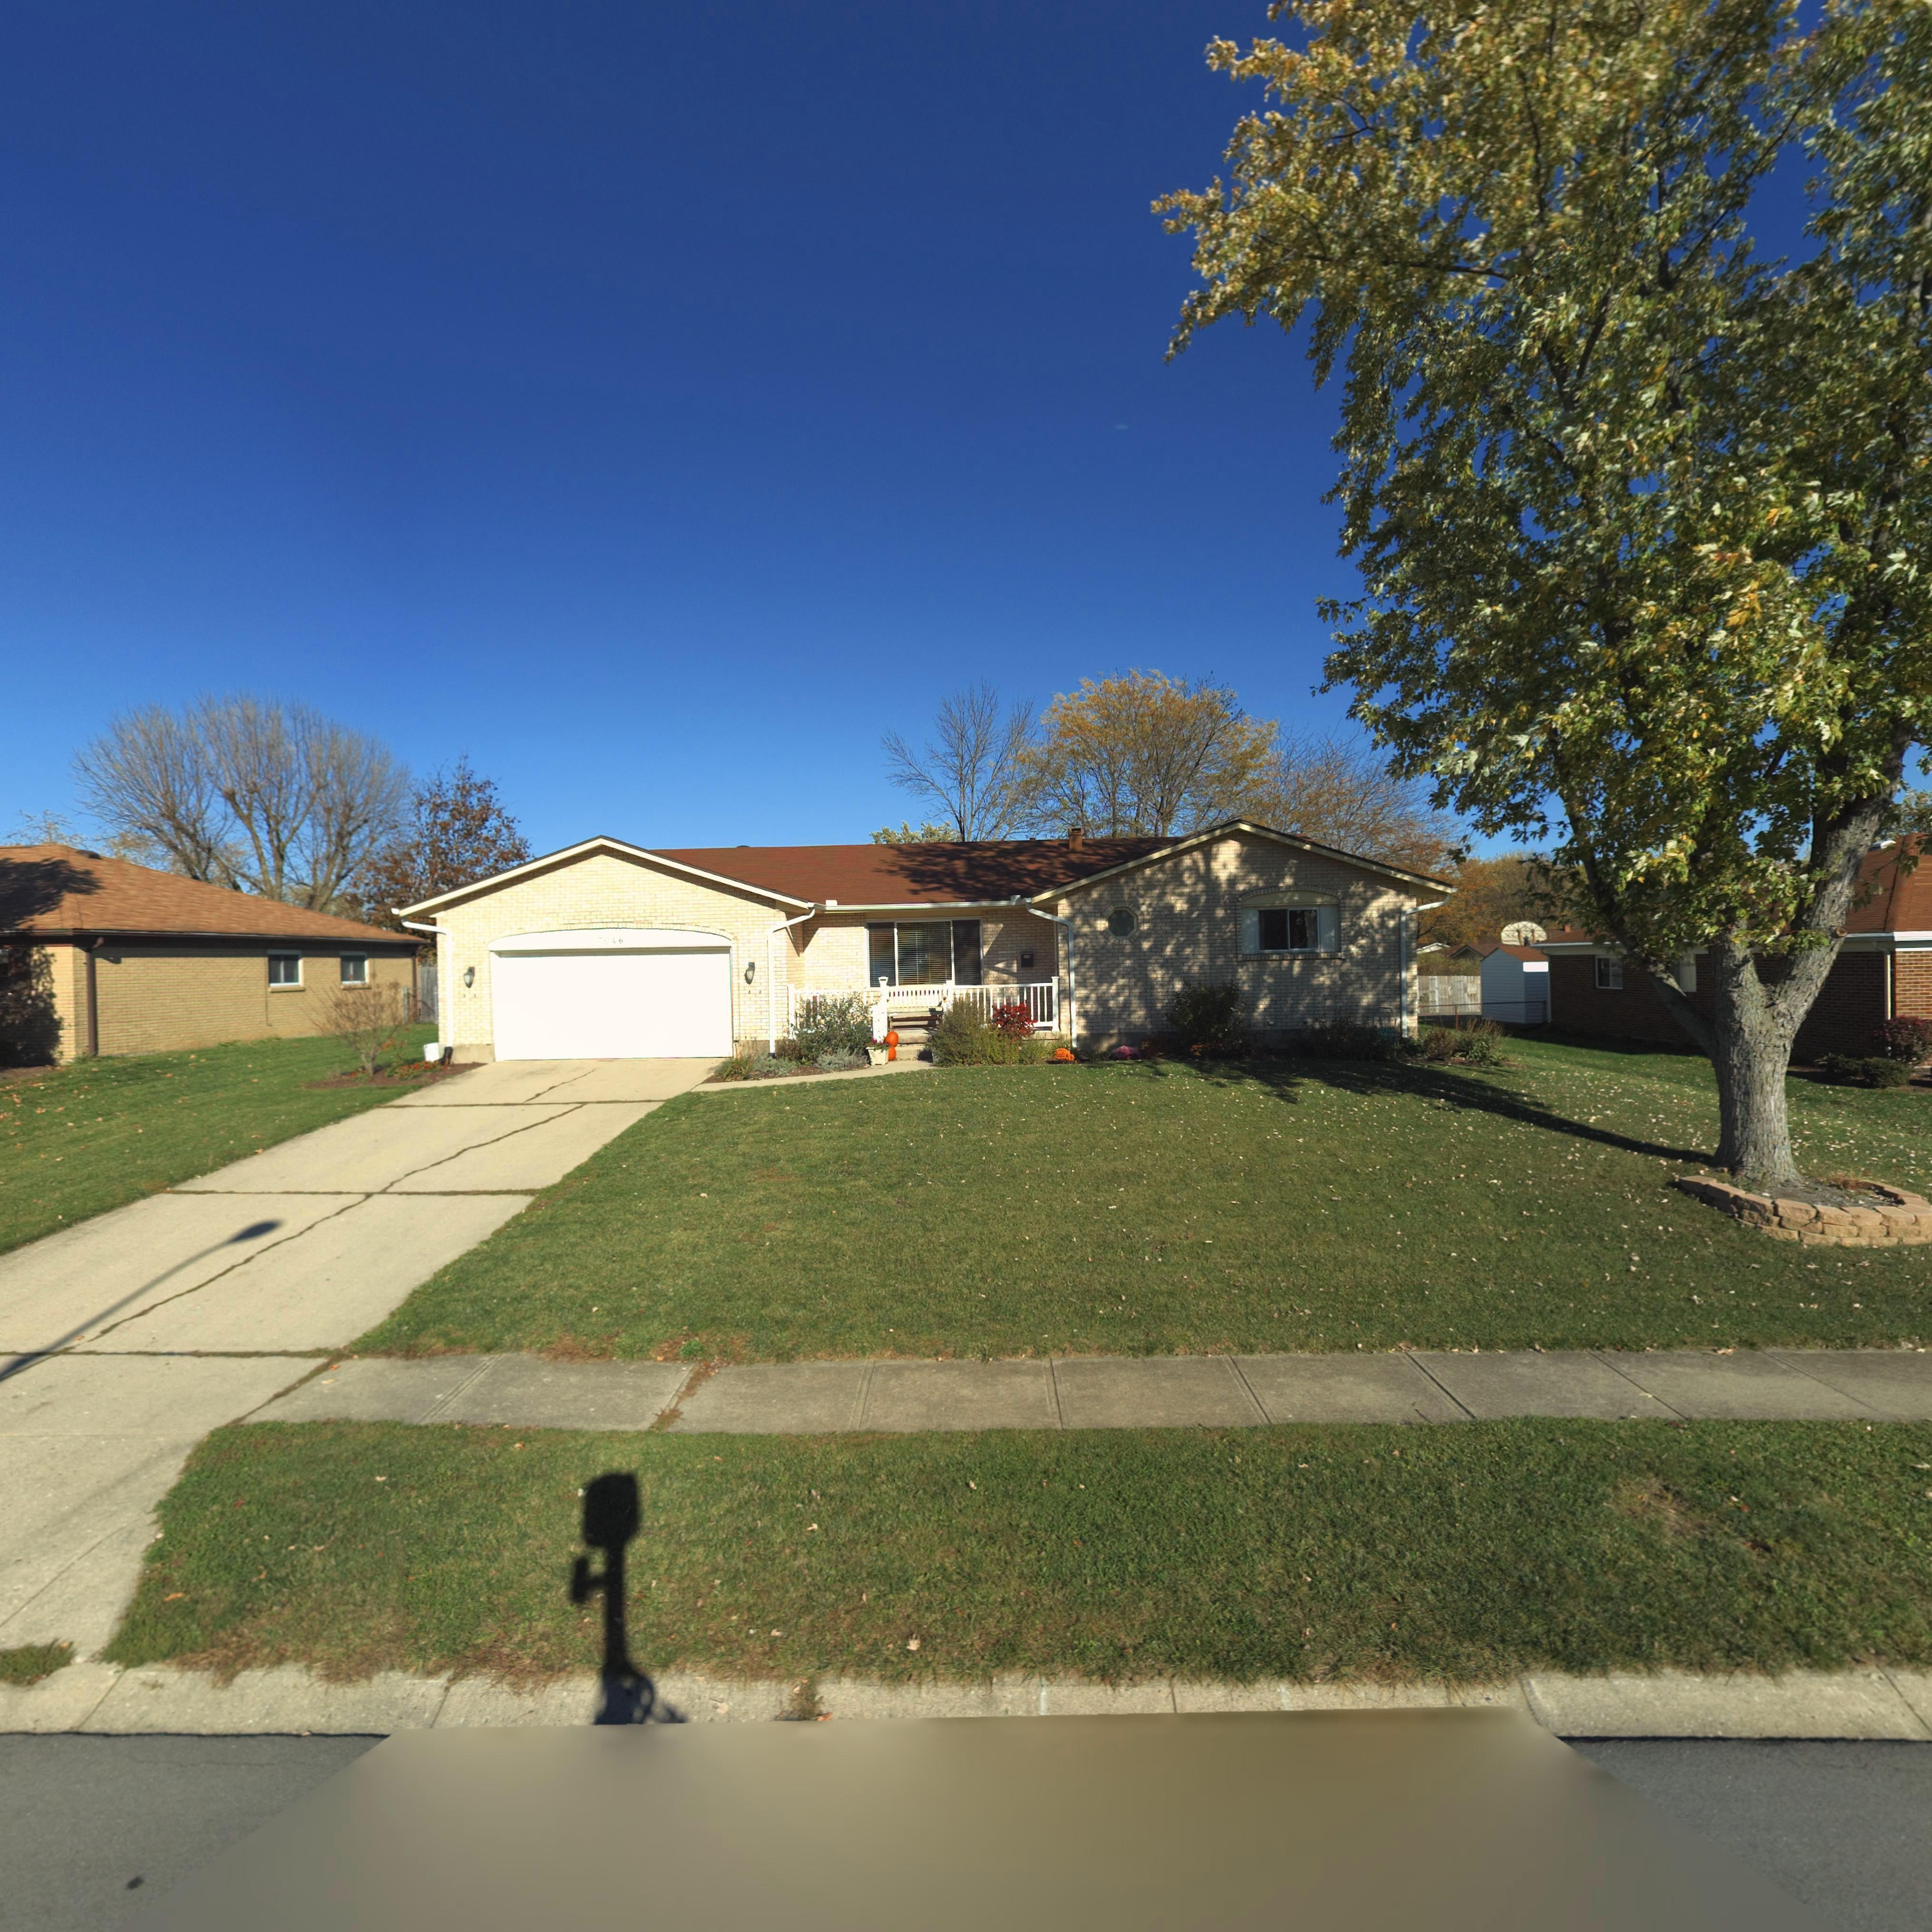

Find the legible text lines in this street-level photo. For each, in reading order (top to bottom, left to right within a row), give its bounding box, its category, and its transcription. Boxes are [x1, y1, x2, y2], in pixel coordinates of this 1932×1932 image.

[597, 936, 624, 945] StreetNumber: 7046